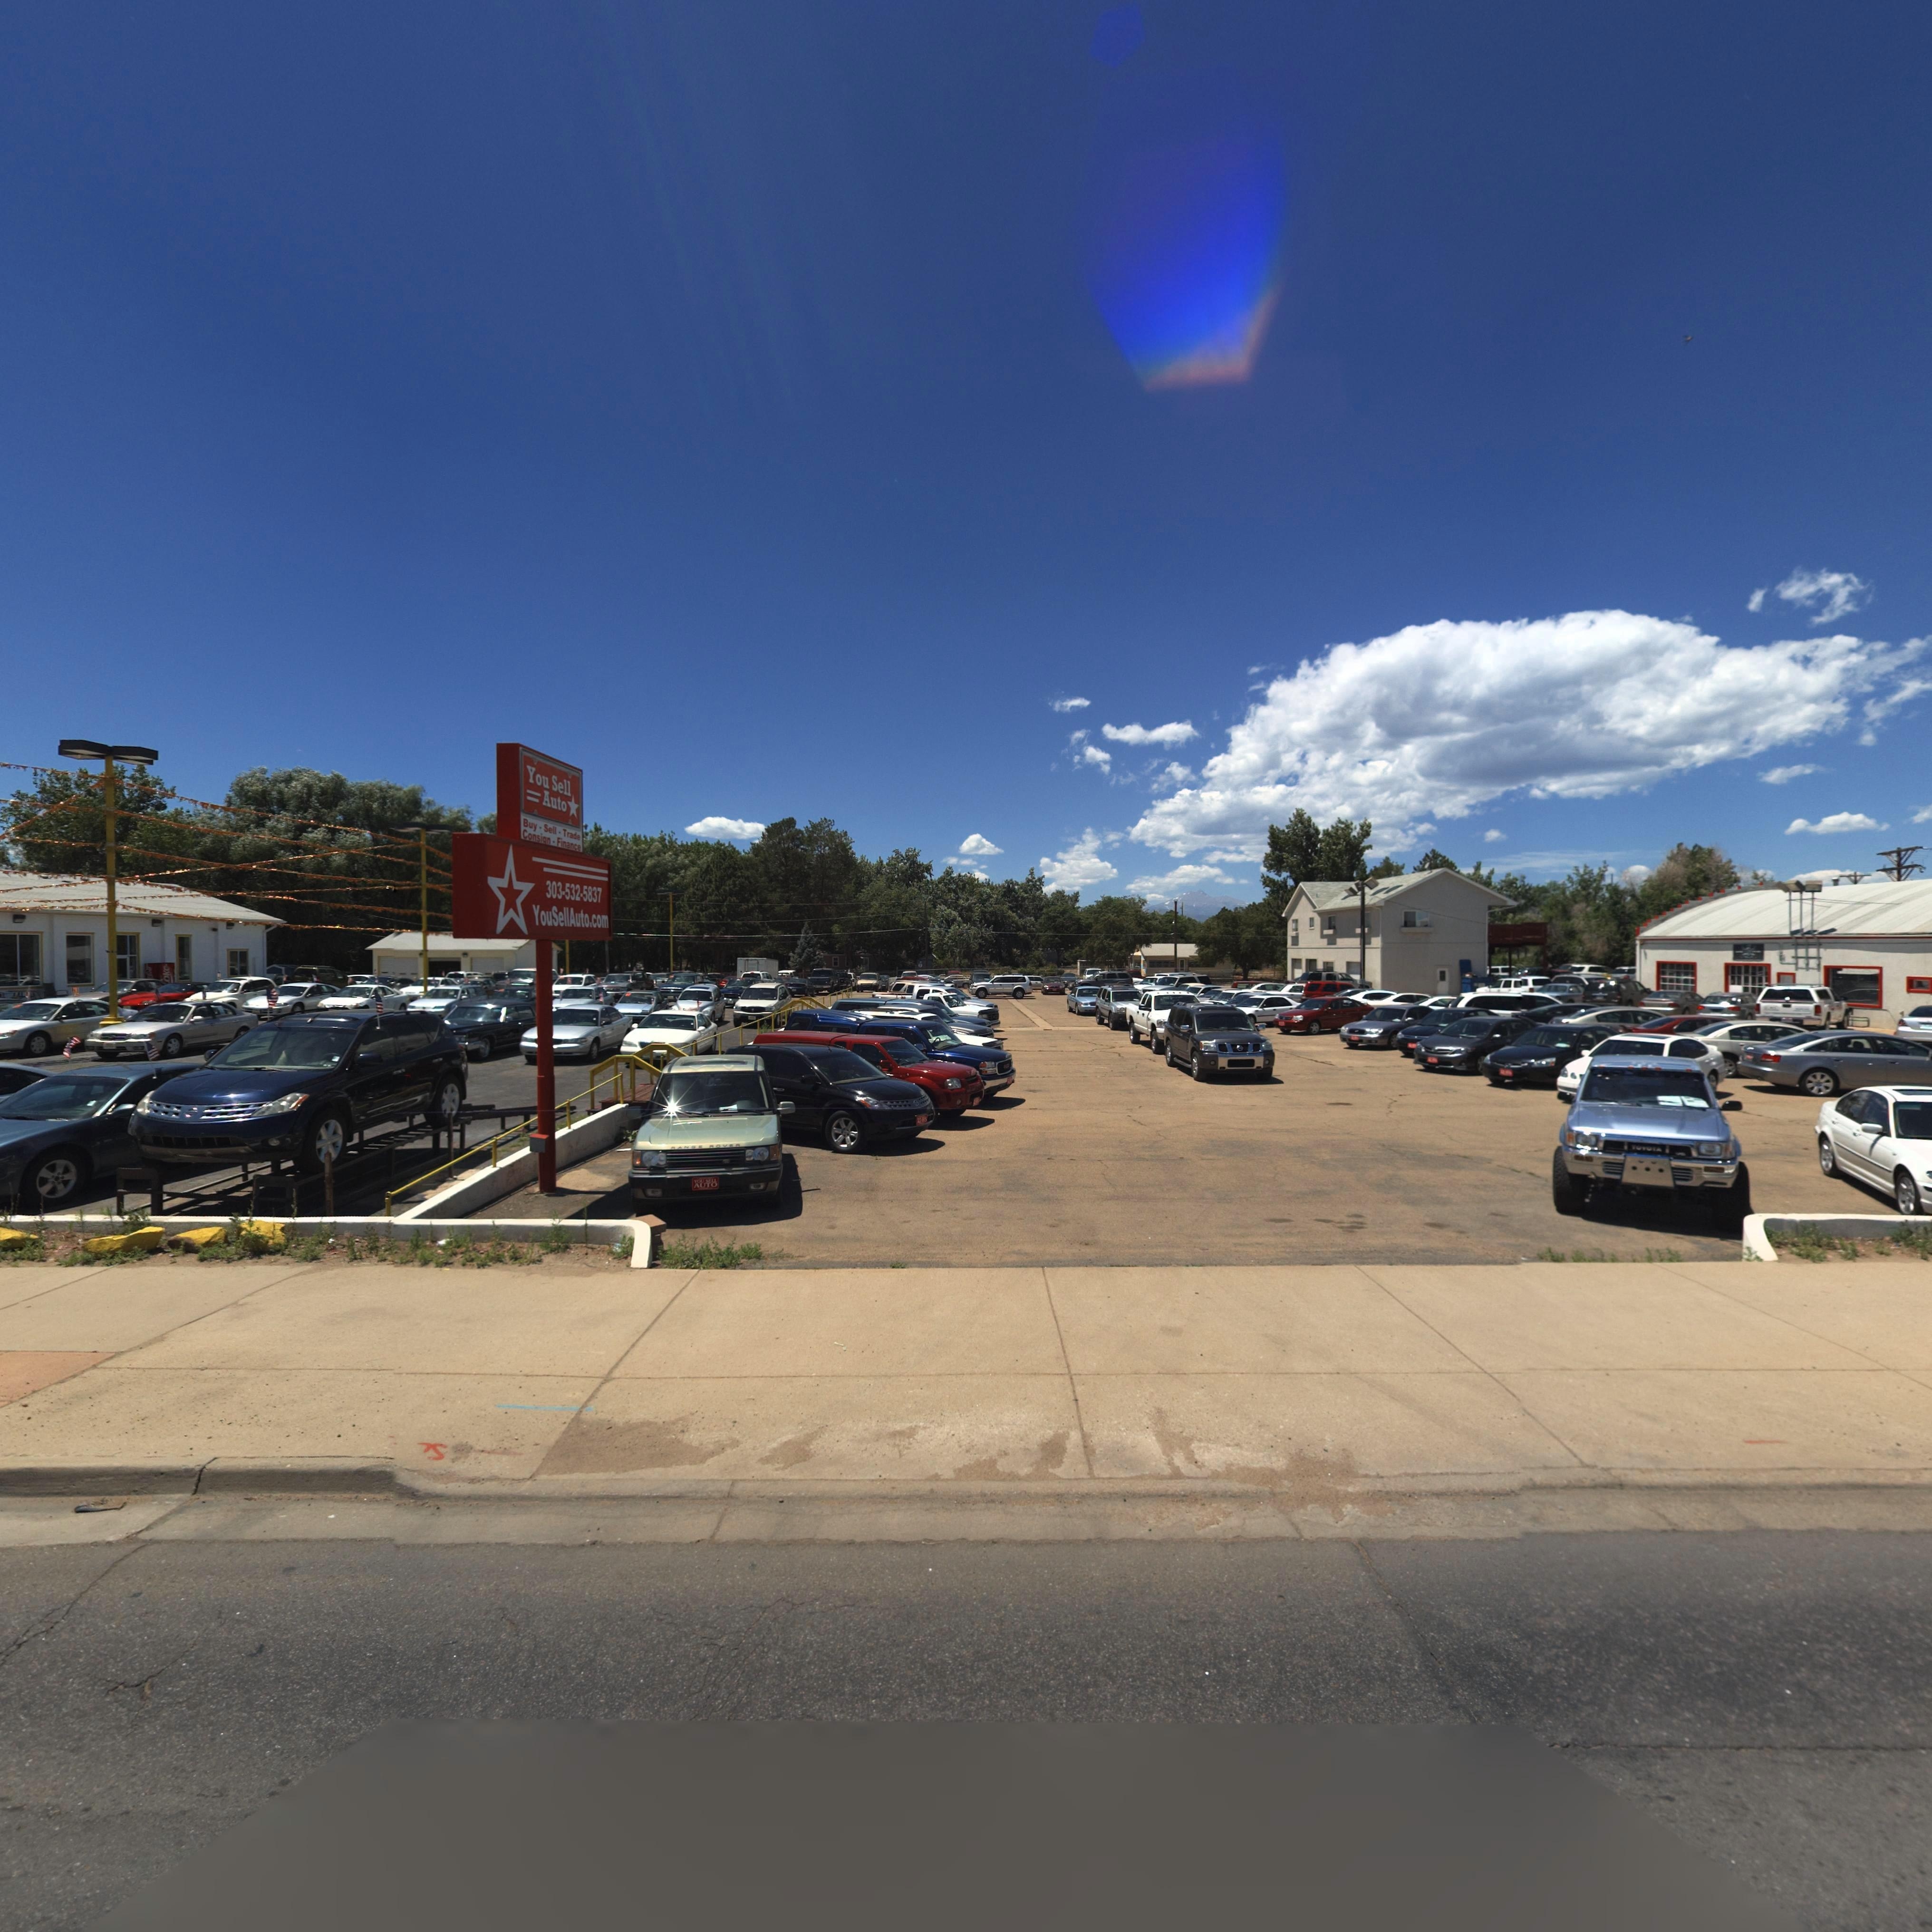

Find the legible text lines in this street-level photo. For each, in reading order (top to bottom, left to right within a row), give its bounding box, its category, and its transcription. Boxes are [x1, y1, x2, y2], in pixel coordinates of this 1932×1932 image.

[525, 764, 572, 798] BusinessName: You Sell
[541, 789, 567, 812] BusinessName: Auto